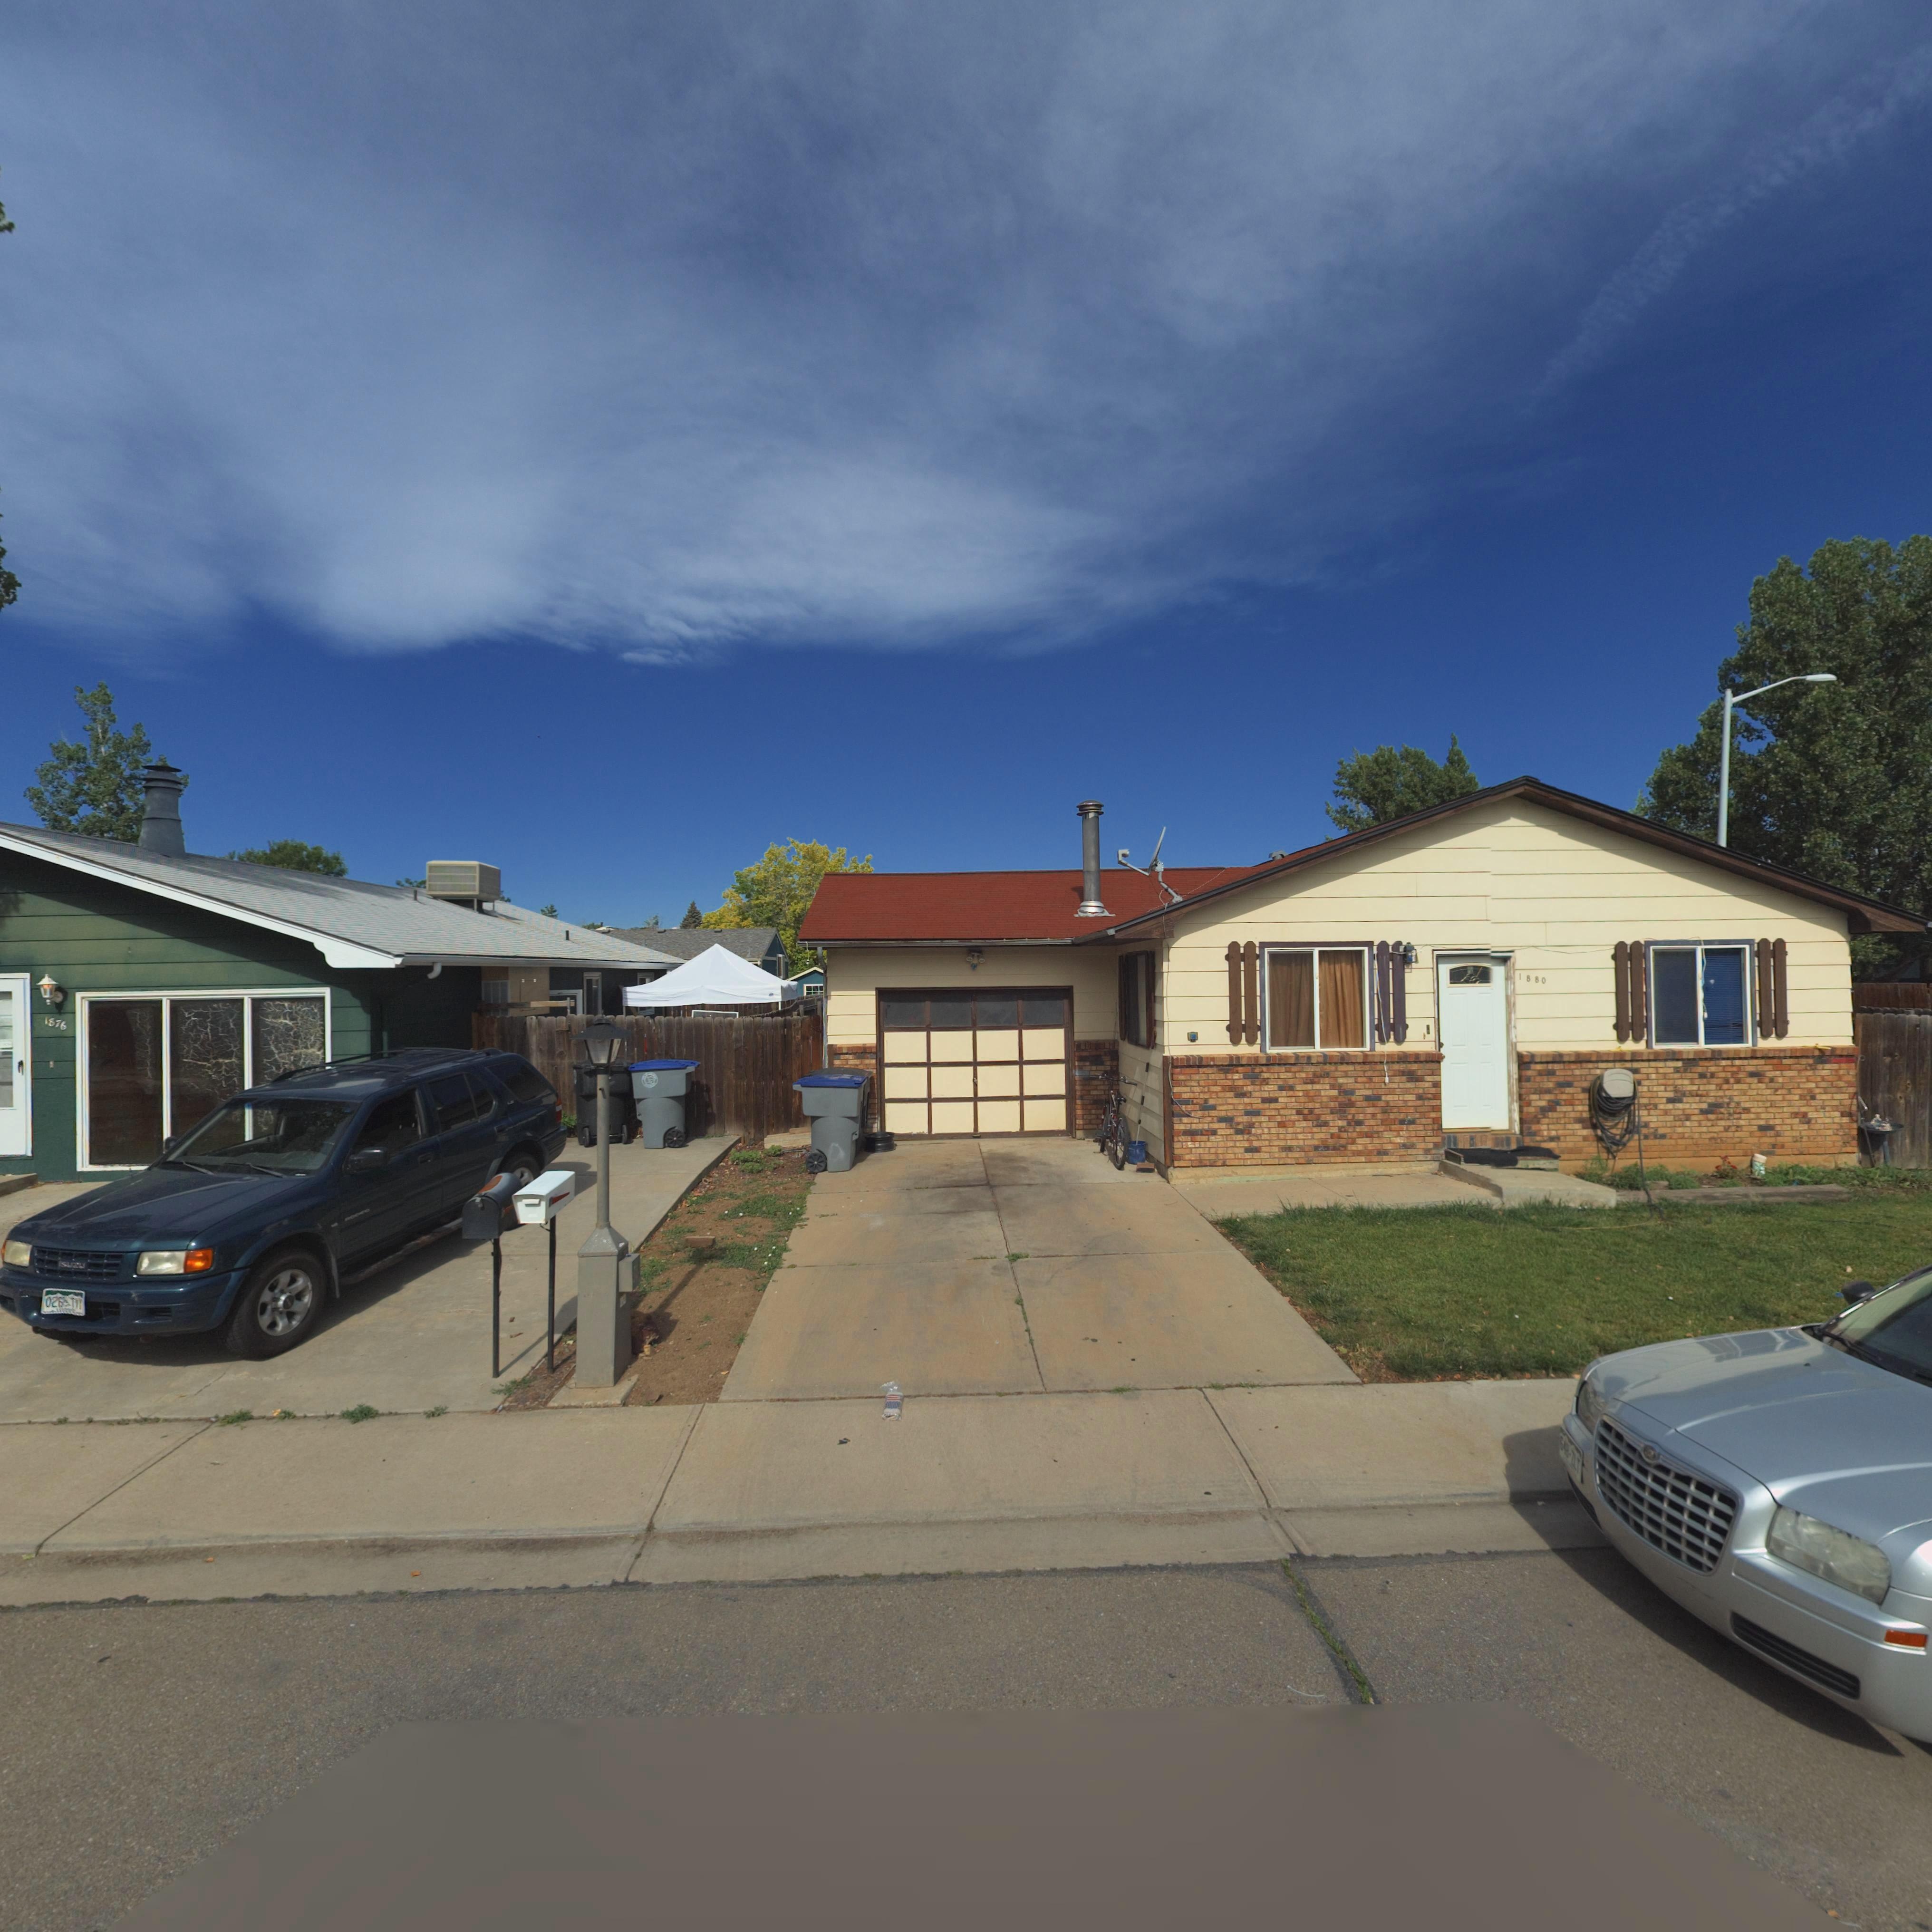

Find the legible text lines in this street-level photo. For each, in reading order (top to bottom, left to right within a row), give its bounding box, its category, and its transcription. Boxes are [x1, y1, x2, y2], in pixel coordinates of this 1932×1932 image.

[1519, 972, 1546, 984] StreetNumber: 1880
[44, 1016, 67, 1031] StreetNumber: 18*6